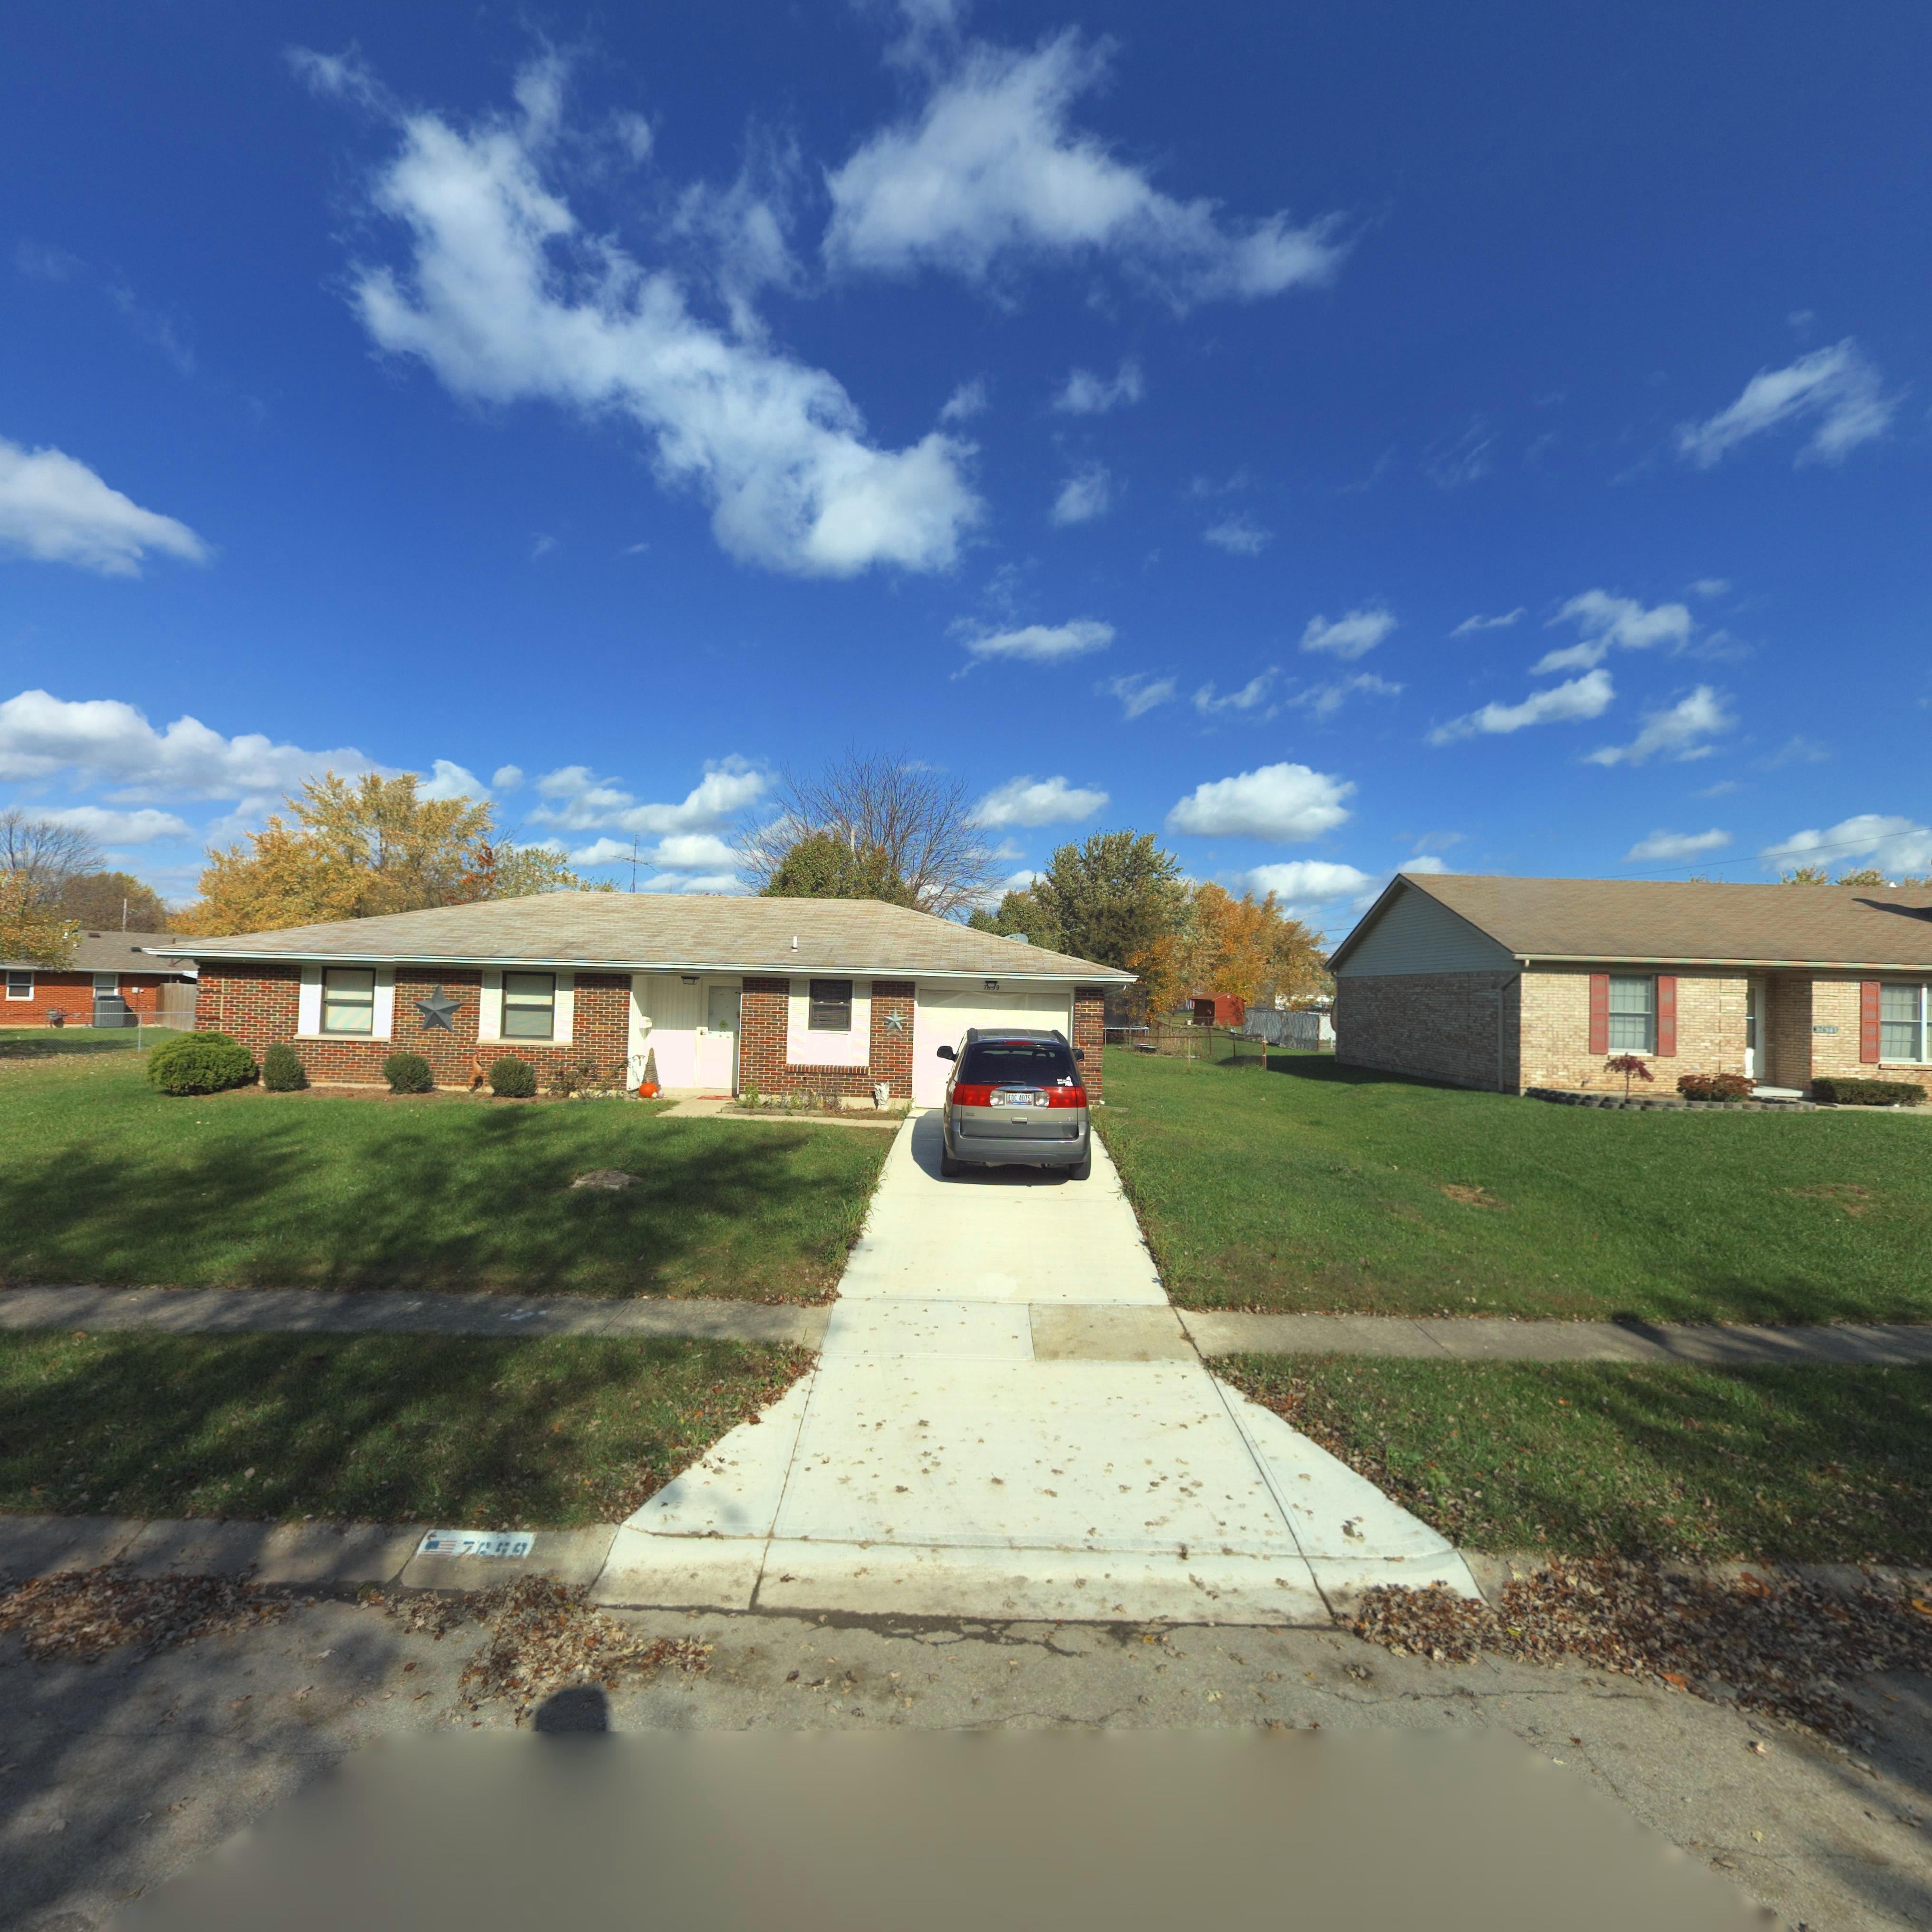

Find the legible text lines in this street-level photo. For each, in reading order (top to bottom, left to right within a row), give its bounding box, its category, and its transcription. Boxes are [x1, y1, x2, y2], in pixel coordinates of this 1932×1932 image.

[983, 984, 1001, 991] StreetNumber: 7**9
[1816, 1026, 1835, 1034] StreetNumber: 7671
[453, 1540, 530, 1563] StreetNumber: 7659